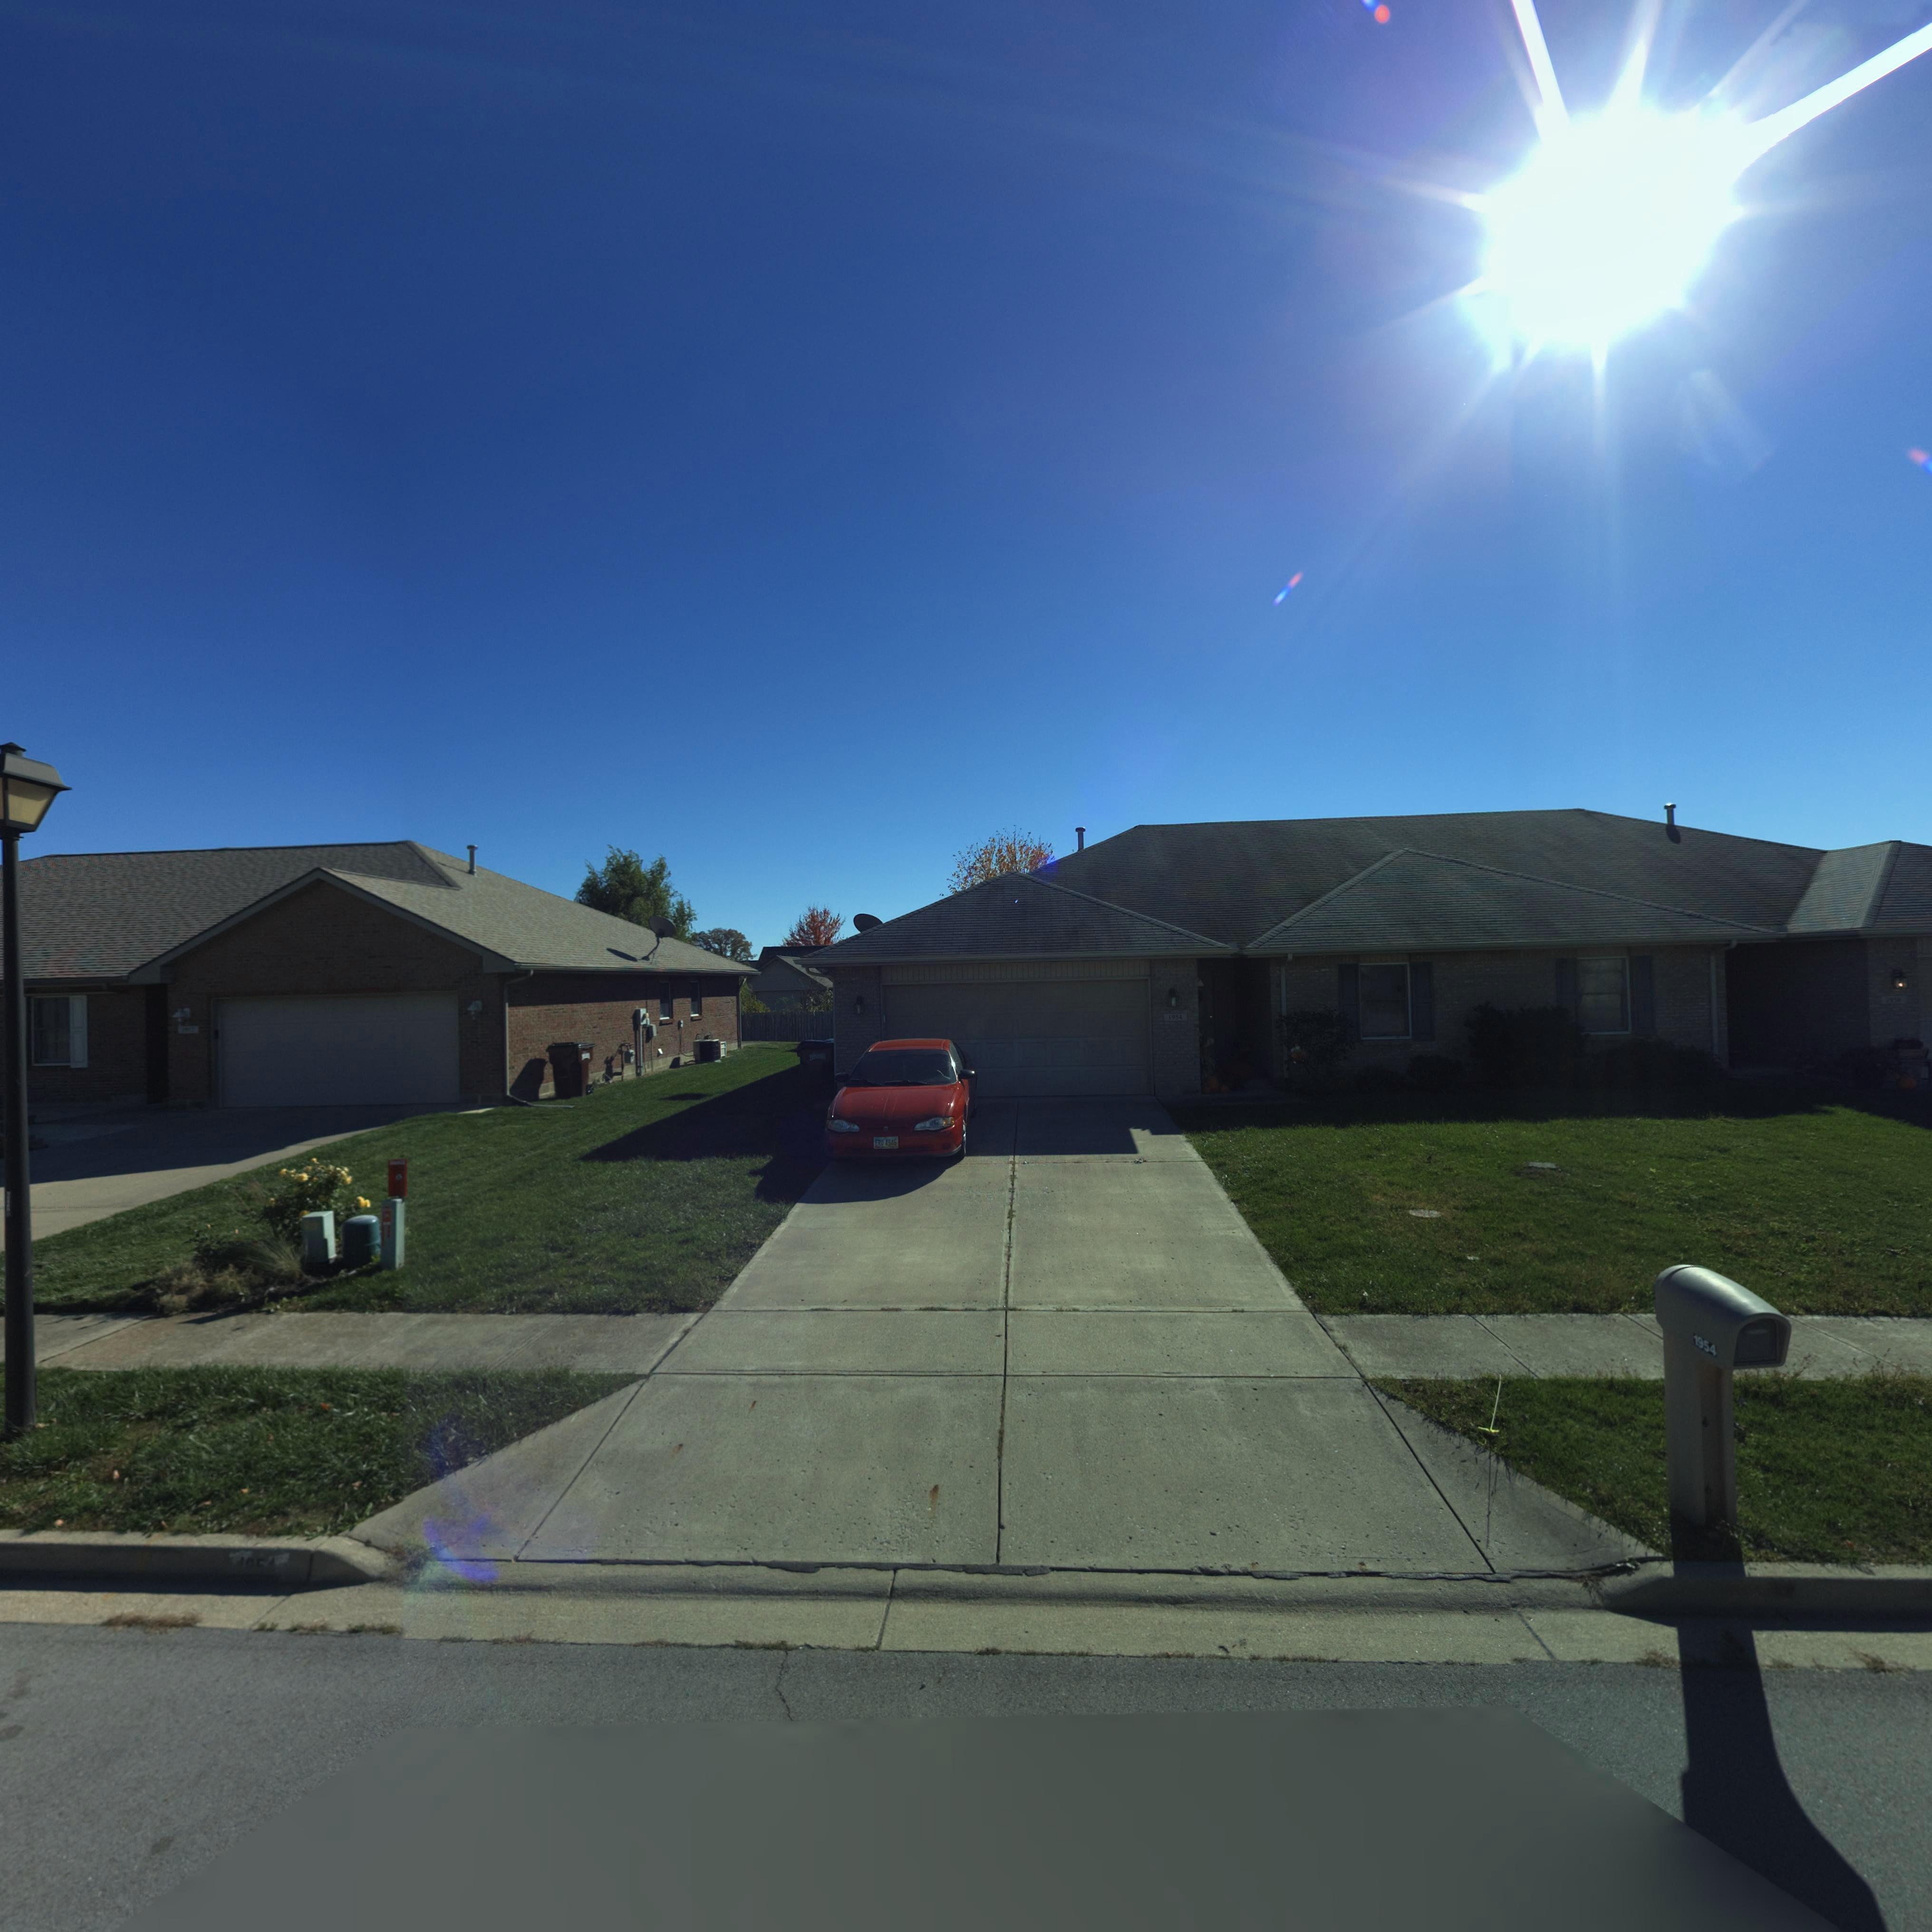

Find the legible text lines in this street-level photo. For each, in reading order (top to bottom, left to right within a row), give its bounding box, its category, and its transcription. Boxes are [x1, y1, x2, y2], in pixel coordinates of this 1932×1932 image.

[1168, 1014, 1183, 1021] StreetNumber: 1954
[1692, 1333, 1718, 1358] StreetNumber: 1954